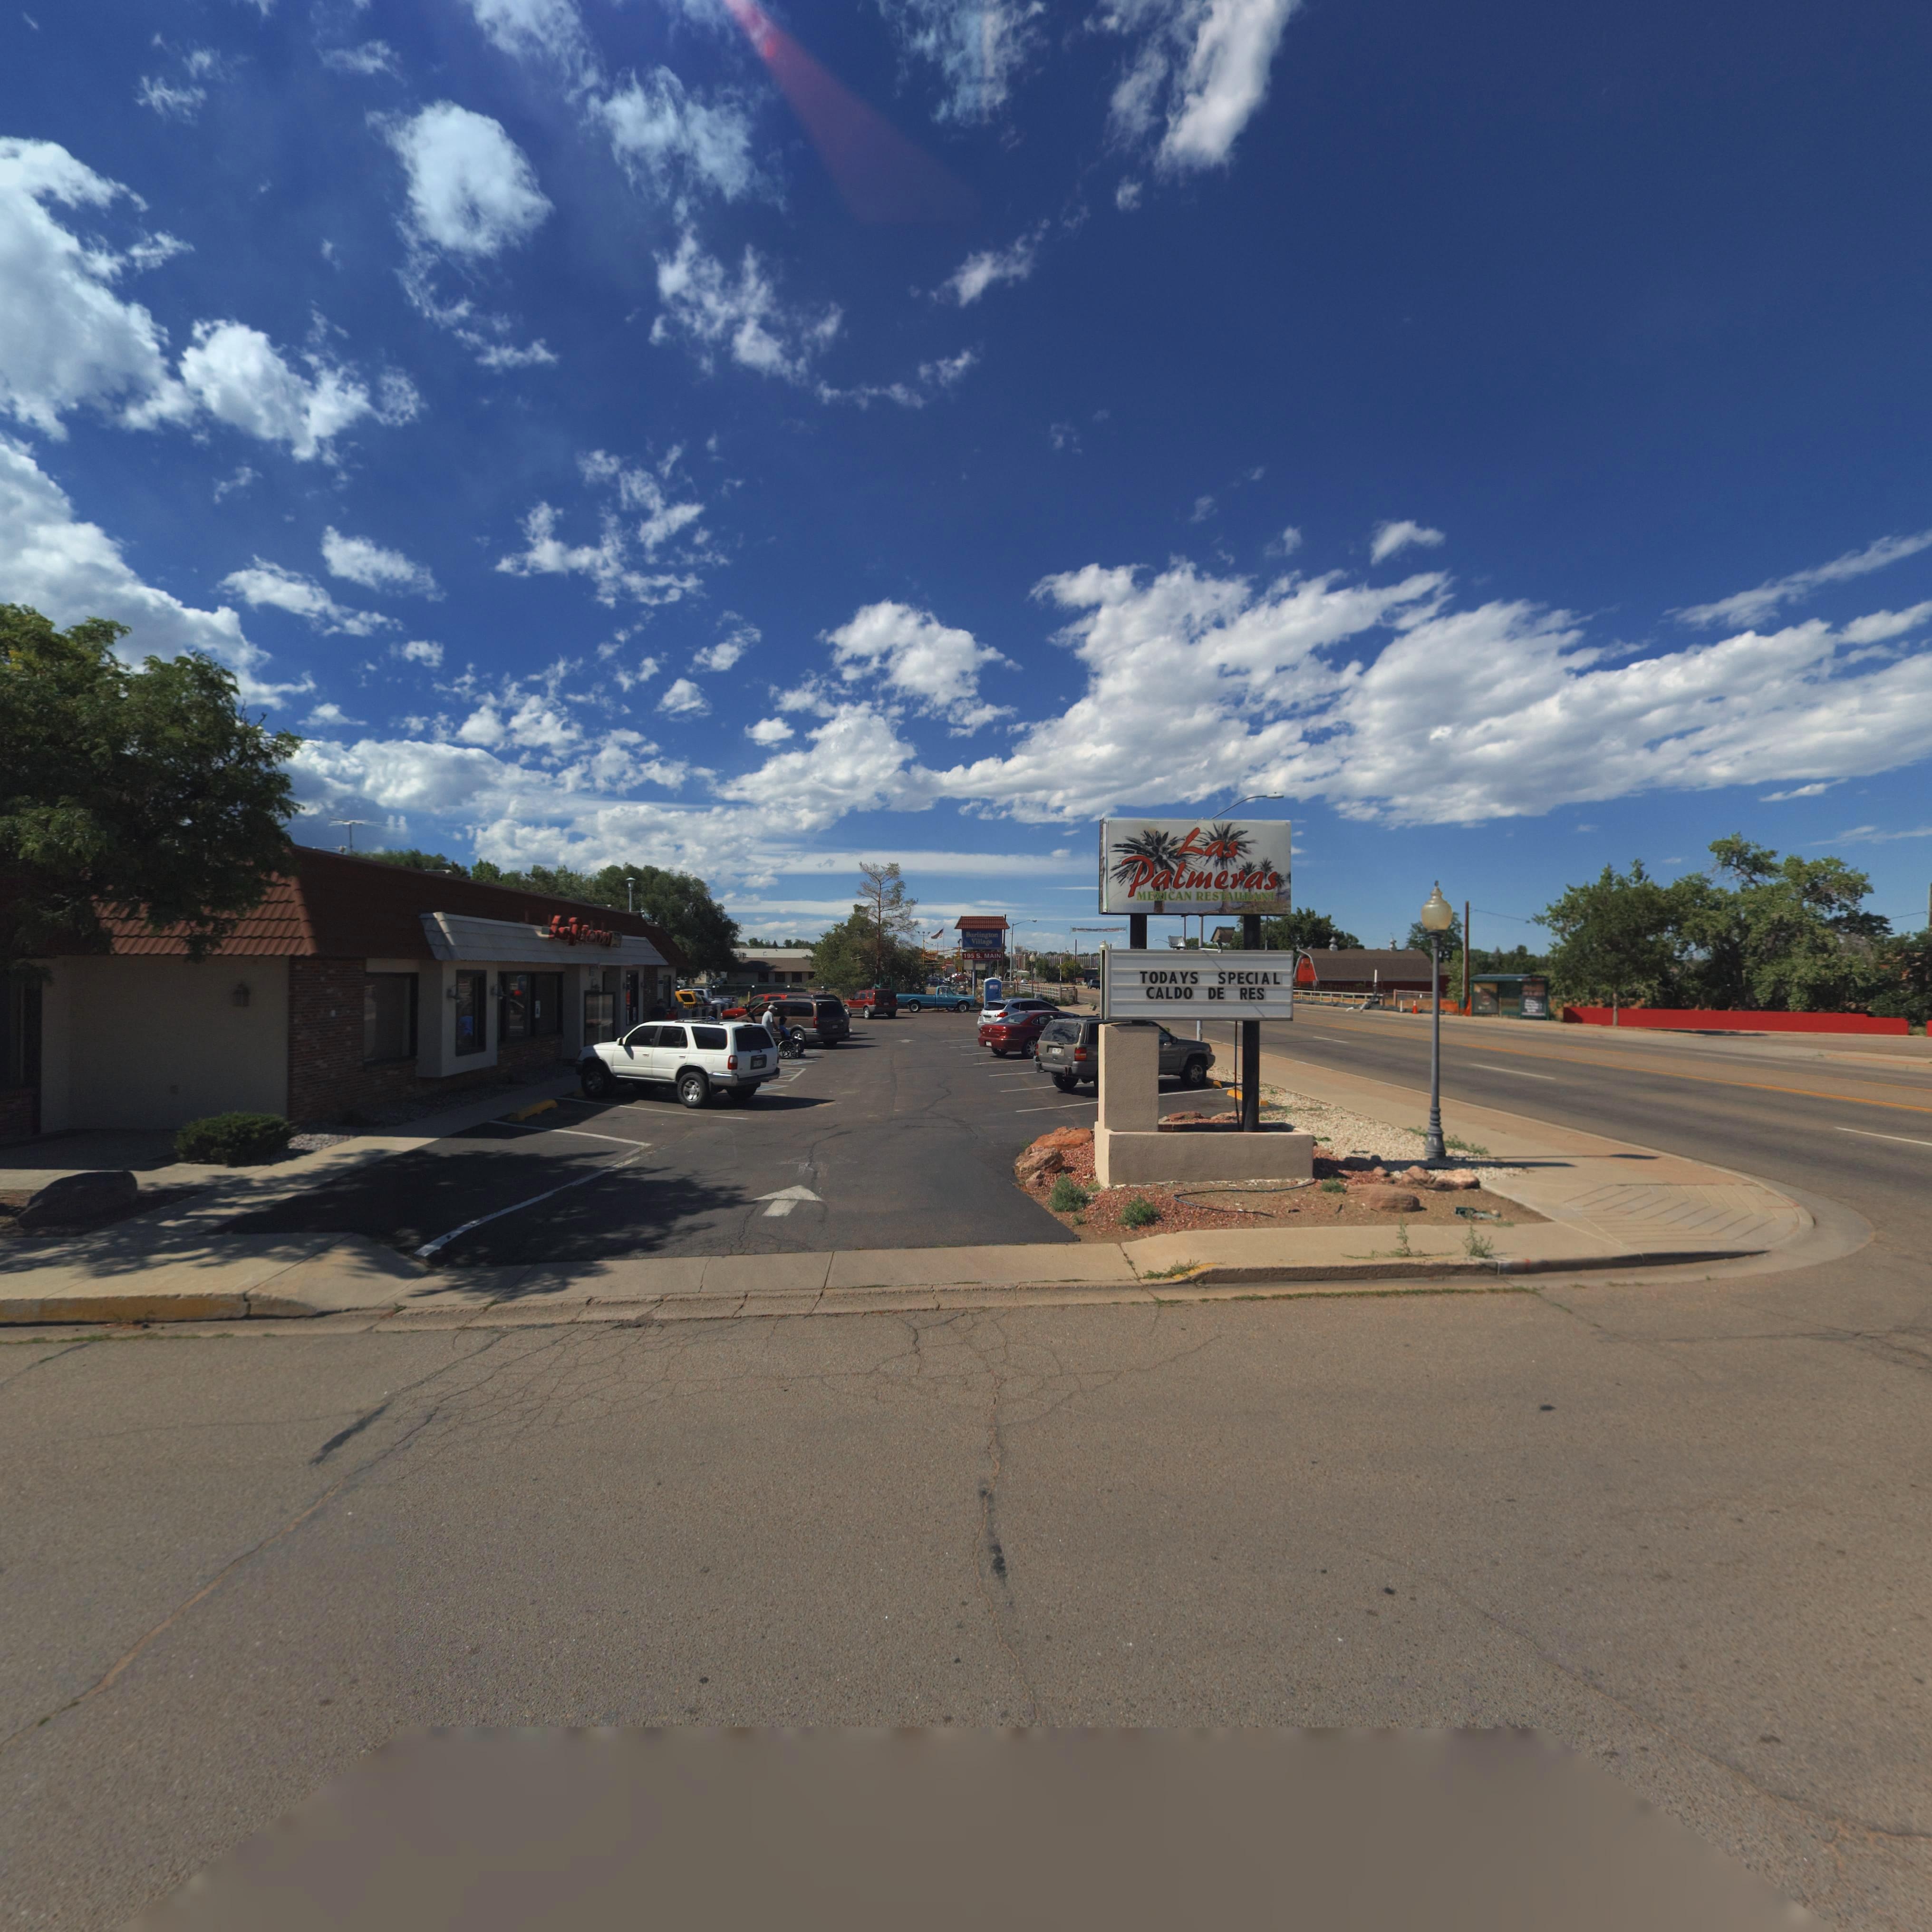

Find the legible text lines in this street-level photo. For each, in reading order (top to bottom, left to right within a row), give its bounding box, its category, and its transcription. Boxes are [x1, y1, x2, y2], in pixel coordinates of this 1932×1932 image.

[1176, 827, 1238, 858] BusinessName: Las
[1121, 854, 1278, 898] BusinessName: Palmeras
[547, 914, 610, 947] BusinessName: L** P*******
[963, 953, 974, 958] StreetNumber: 195
[976, 953, 1001, 958] StreetName: S. MAIN